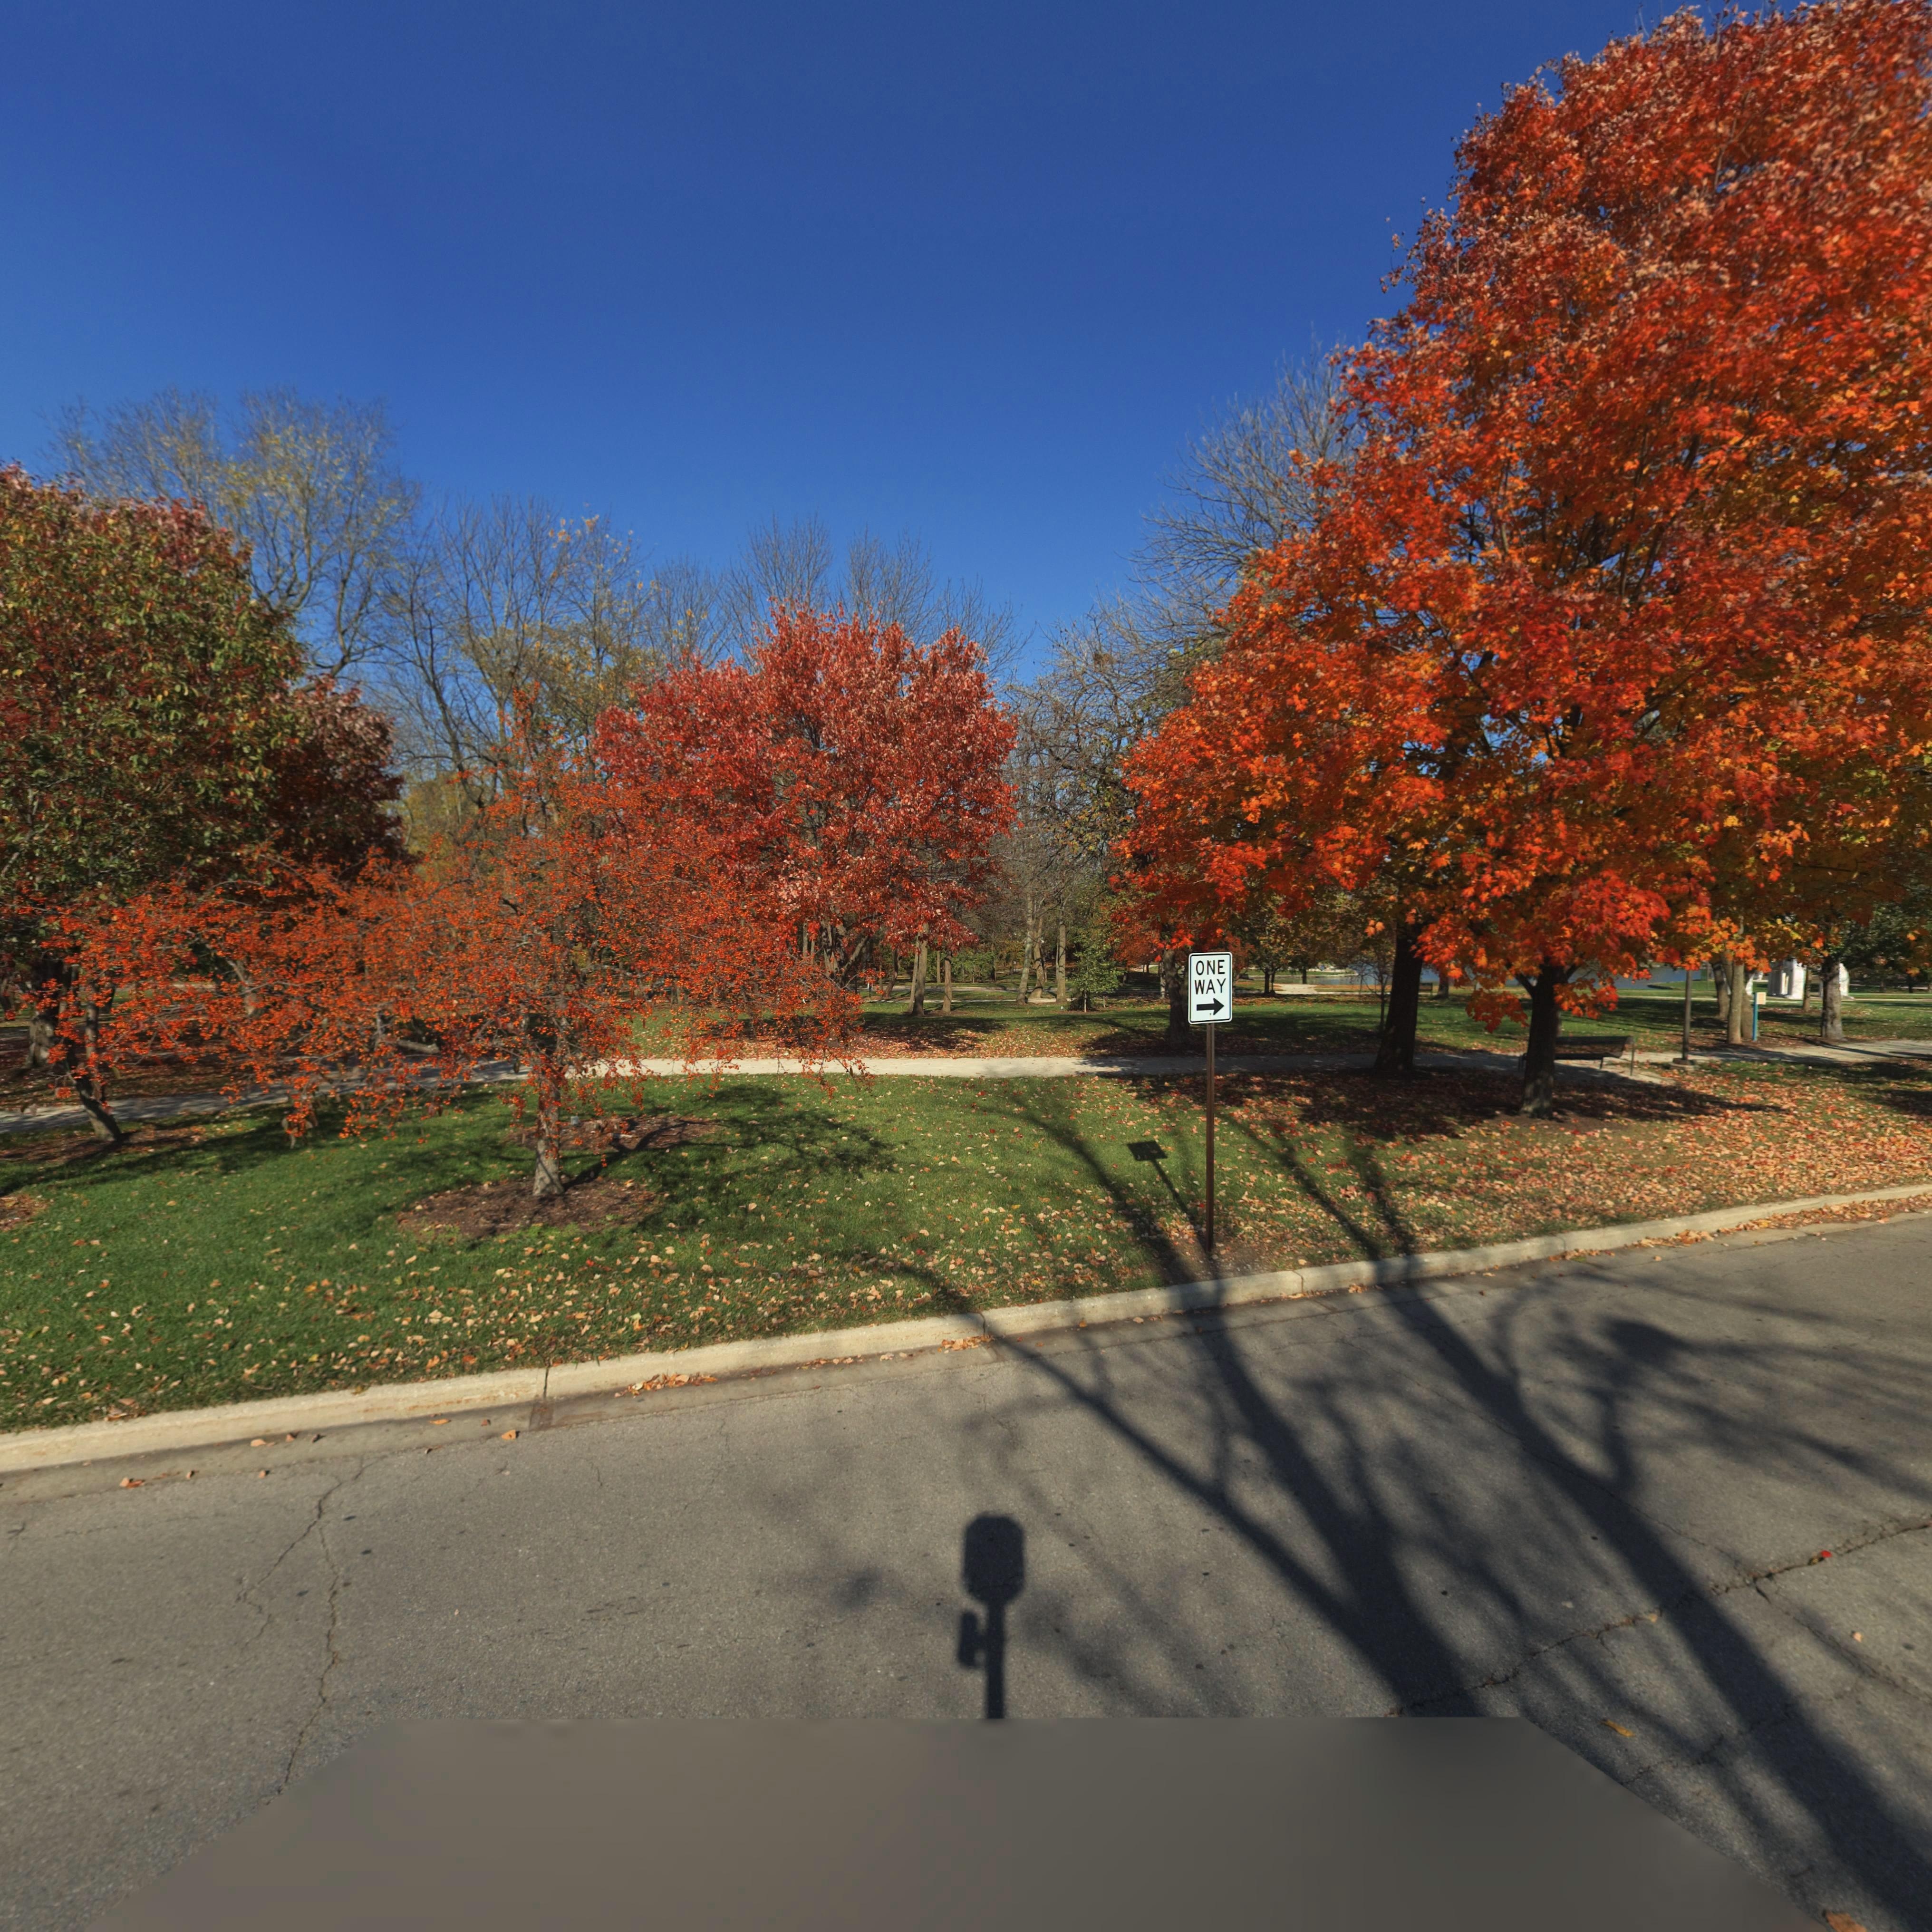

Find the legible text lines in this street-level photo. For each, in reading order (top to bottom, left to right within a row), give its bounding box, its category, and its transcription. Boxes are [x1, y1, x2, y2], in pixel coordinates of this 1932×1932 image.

[1195, 958, 1227, 976] None: ONE
[1192, 977, 1227, 996] None: WAY